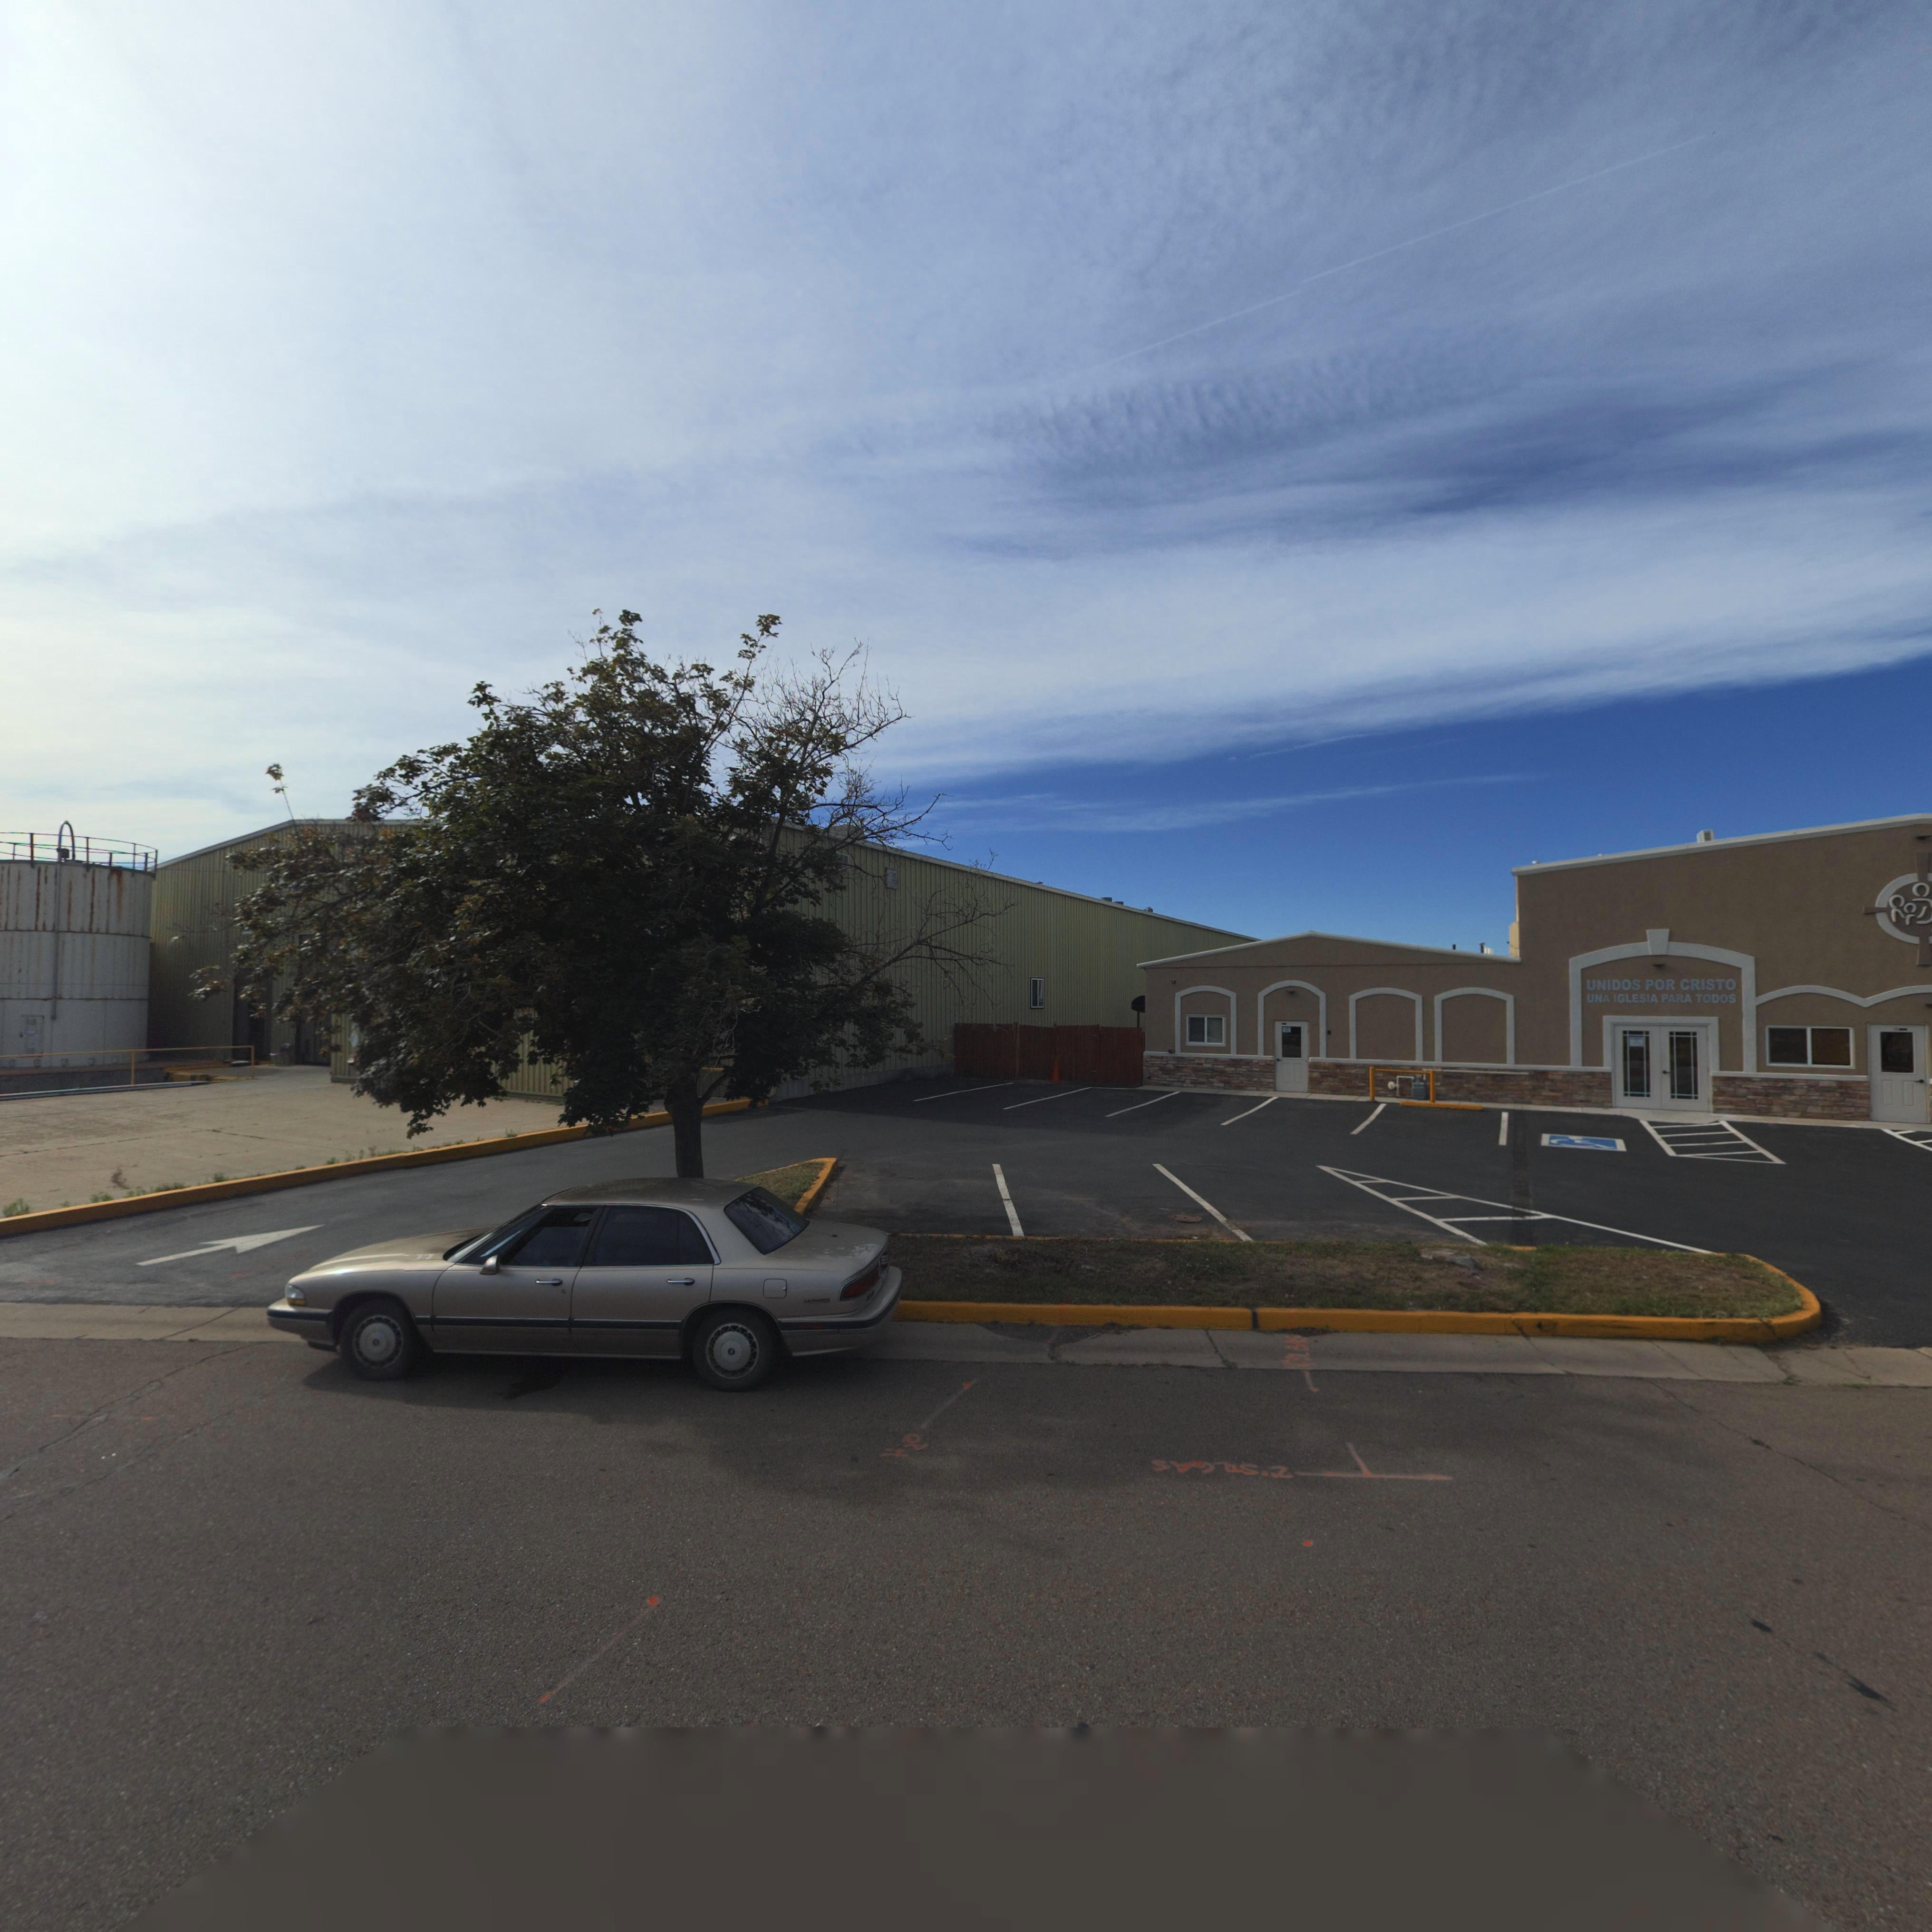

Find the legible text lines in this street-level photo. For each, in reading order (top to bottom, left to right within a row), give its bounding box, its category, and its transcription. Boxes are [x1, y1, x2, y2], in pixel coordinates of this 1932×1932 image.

[1585, 978, 1737, 991] BusinessName: UNIDOS POR CRISTO
[1587, 994, 1735, 1003] BusinessName: UNA IGLESIA PARA TODOS